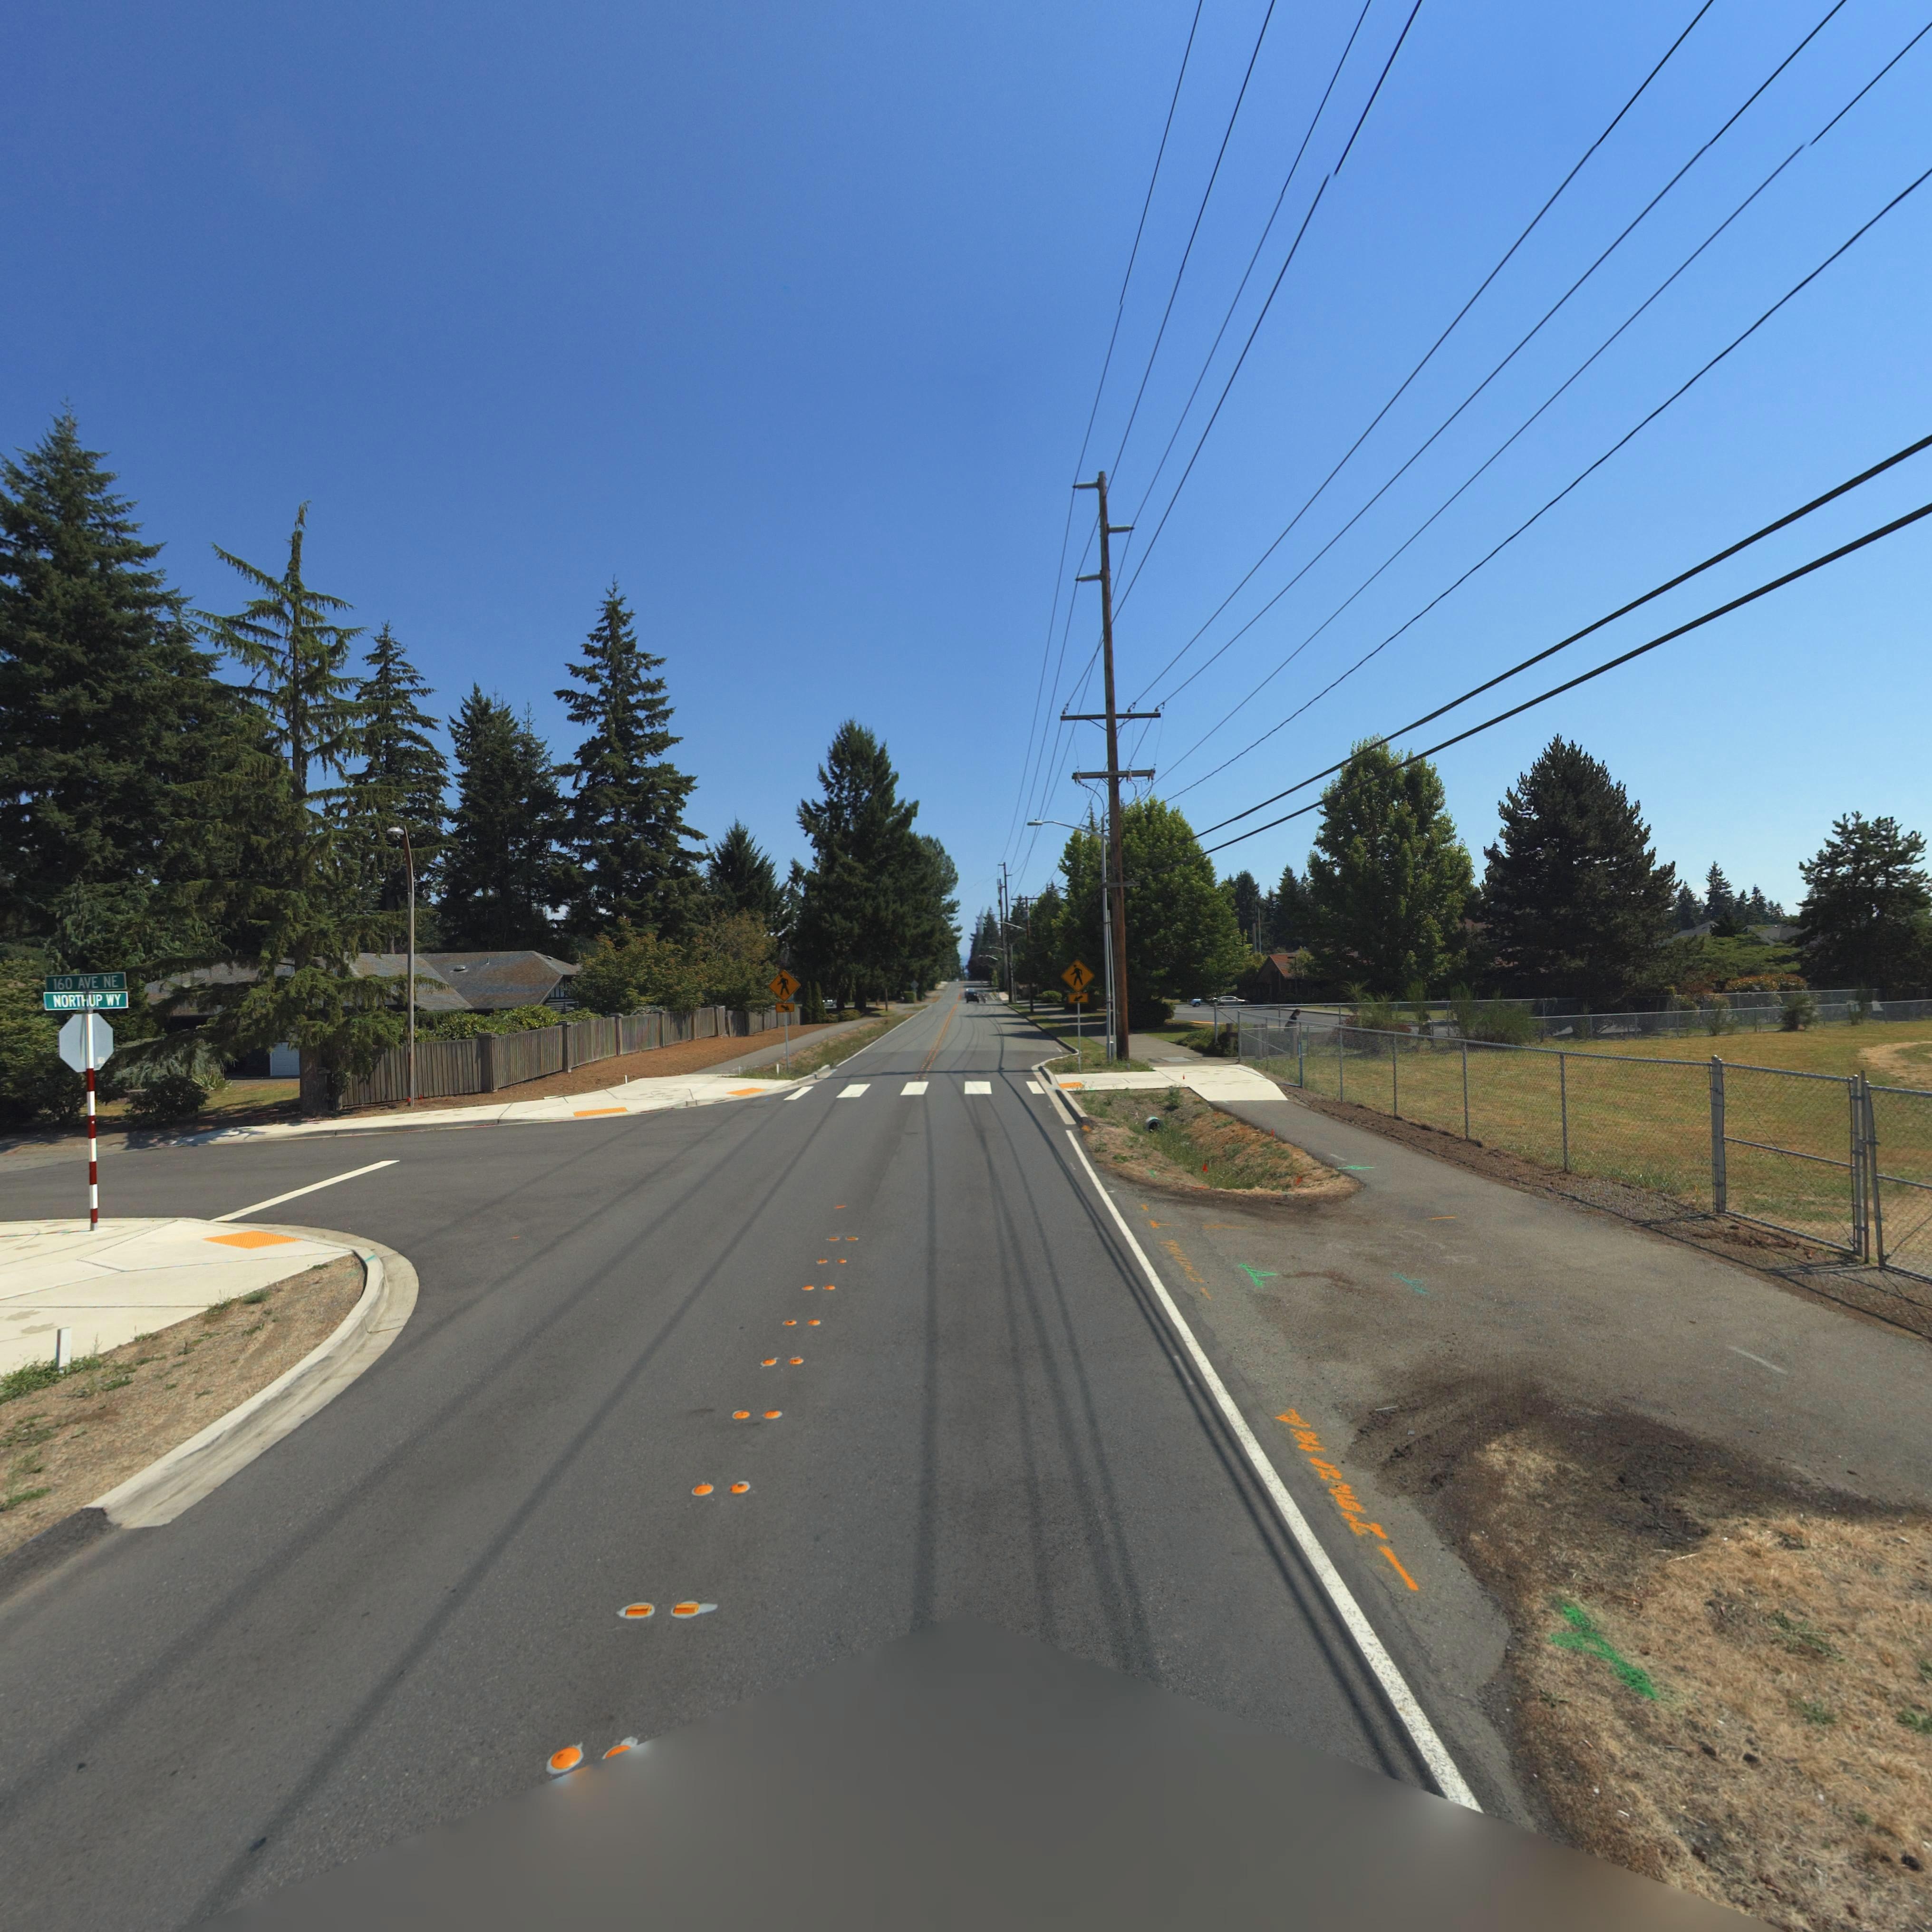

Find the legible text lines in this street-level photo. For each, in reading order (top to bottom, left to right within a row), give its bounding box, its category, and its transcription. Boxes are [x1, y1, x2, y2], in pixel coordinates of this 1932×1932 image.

[53, 975, 118, 990] StreetName: 160 AVE NE
[52, 994, 122, 1007] StreetName: NORTHUP WY